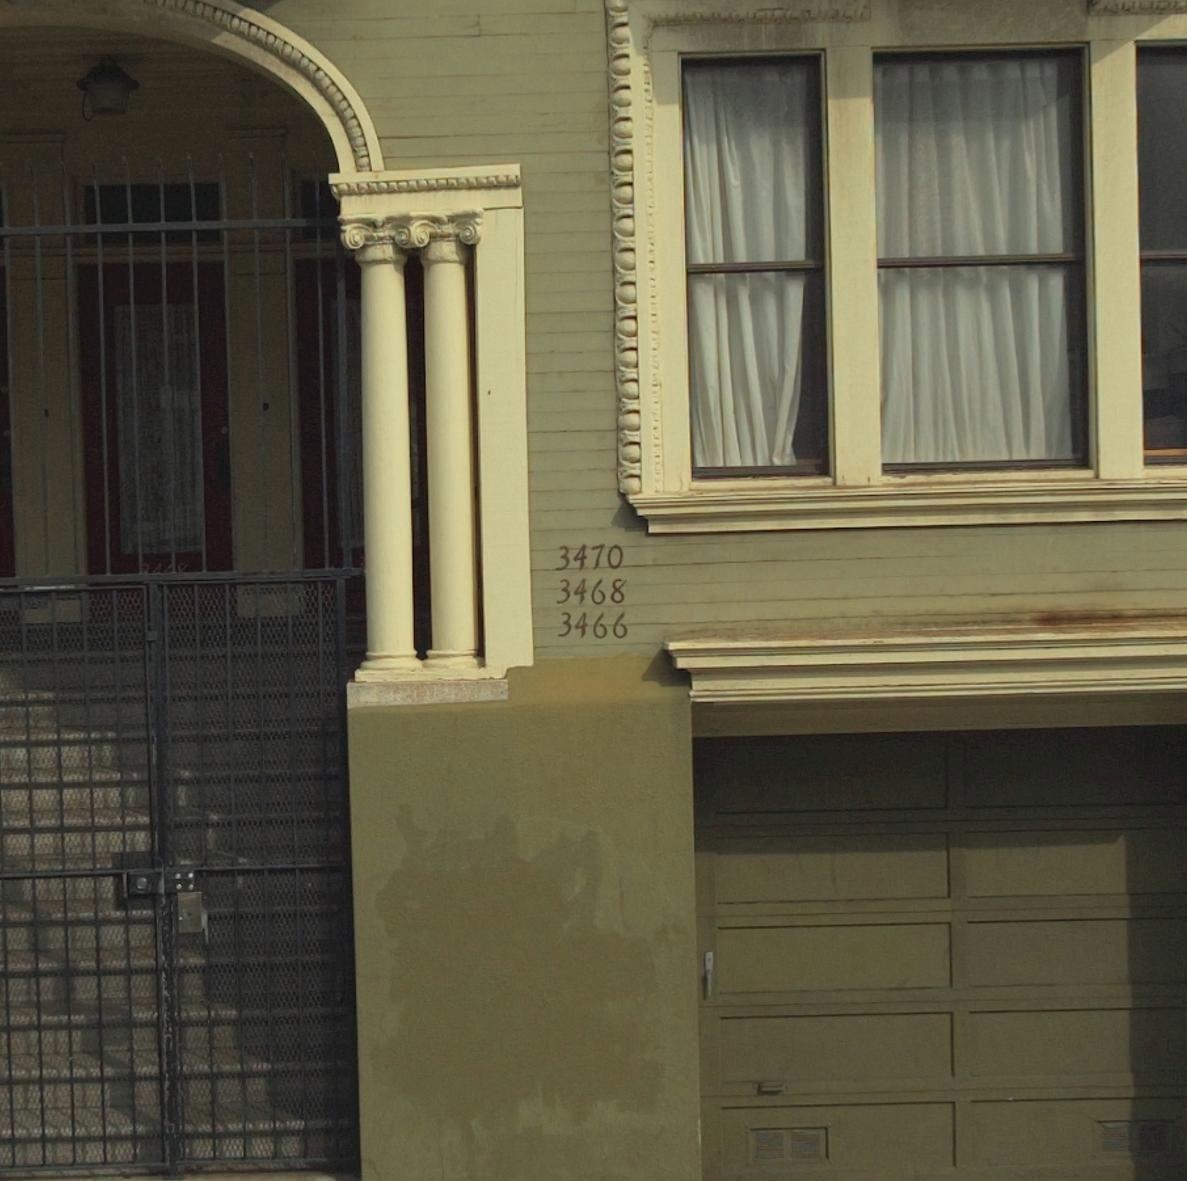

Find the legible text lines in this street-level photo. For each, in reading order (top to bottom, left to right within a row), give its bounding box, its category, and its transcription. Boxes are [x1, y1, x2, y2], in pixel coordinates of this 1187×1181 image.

[552, 541, 625, 573] StreetNumber: 3470
[554, 577, 630, 606] StreetNumber: 3468
[556, 610, 631, 640] StreetNumber: 3466